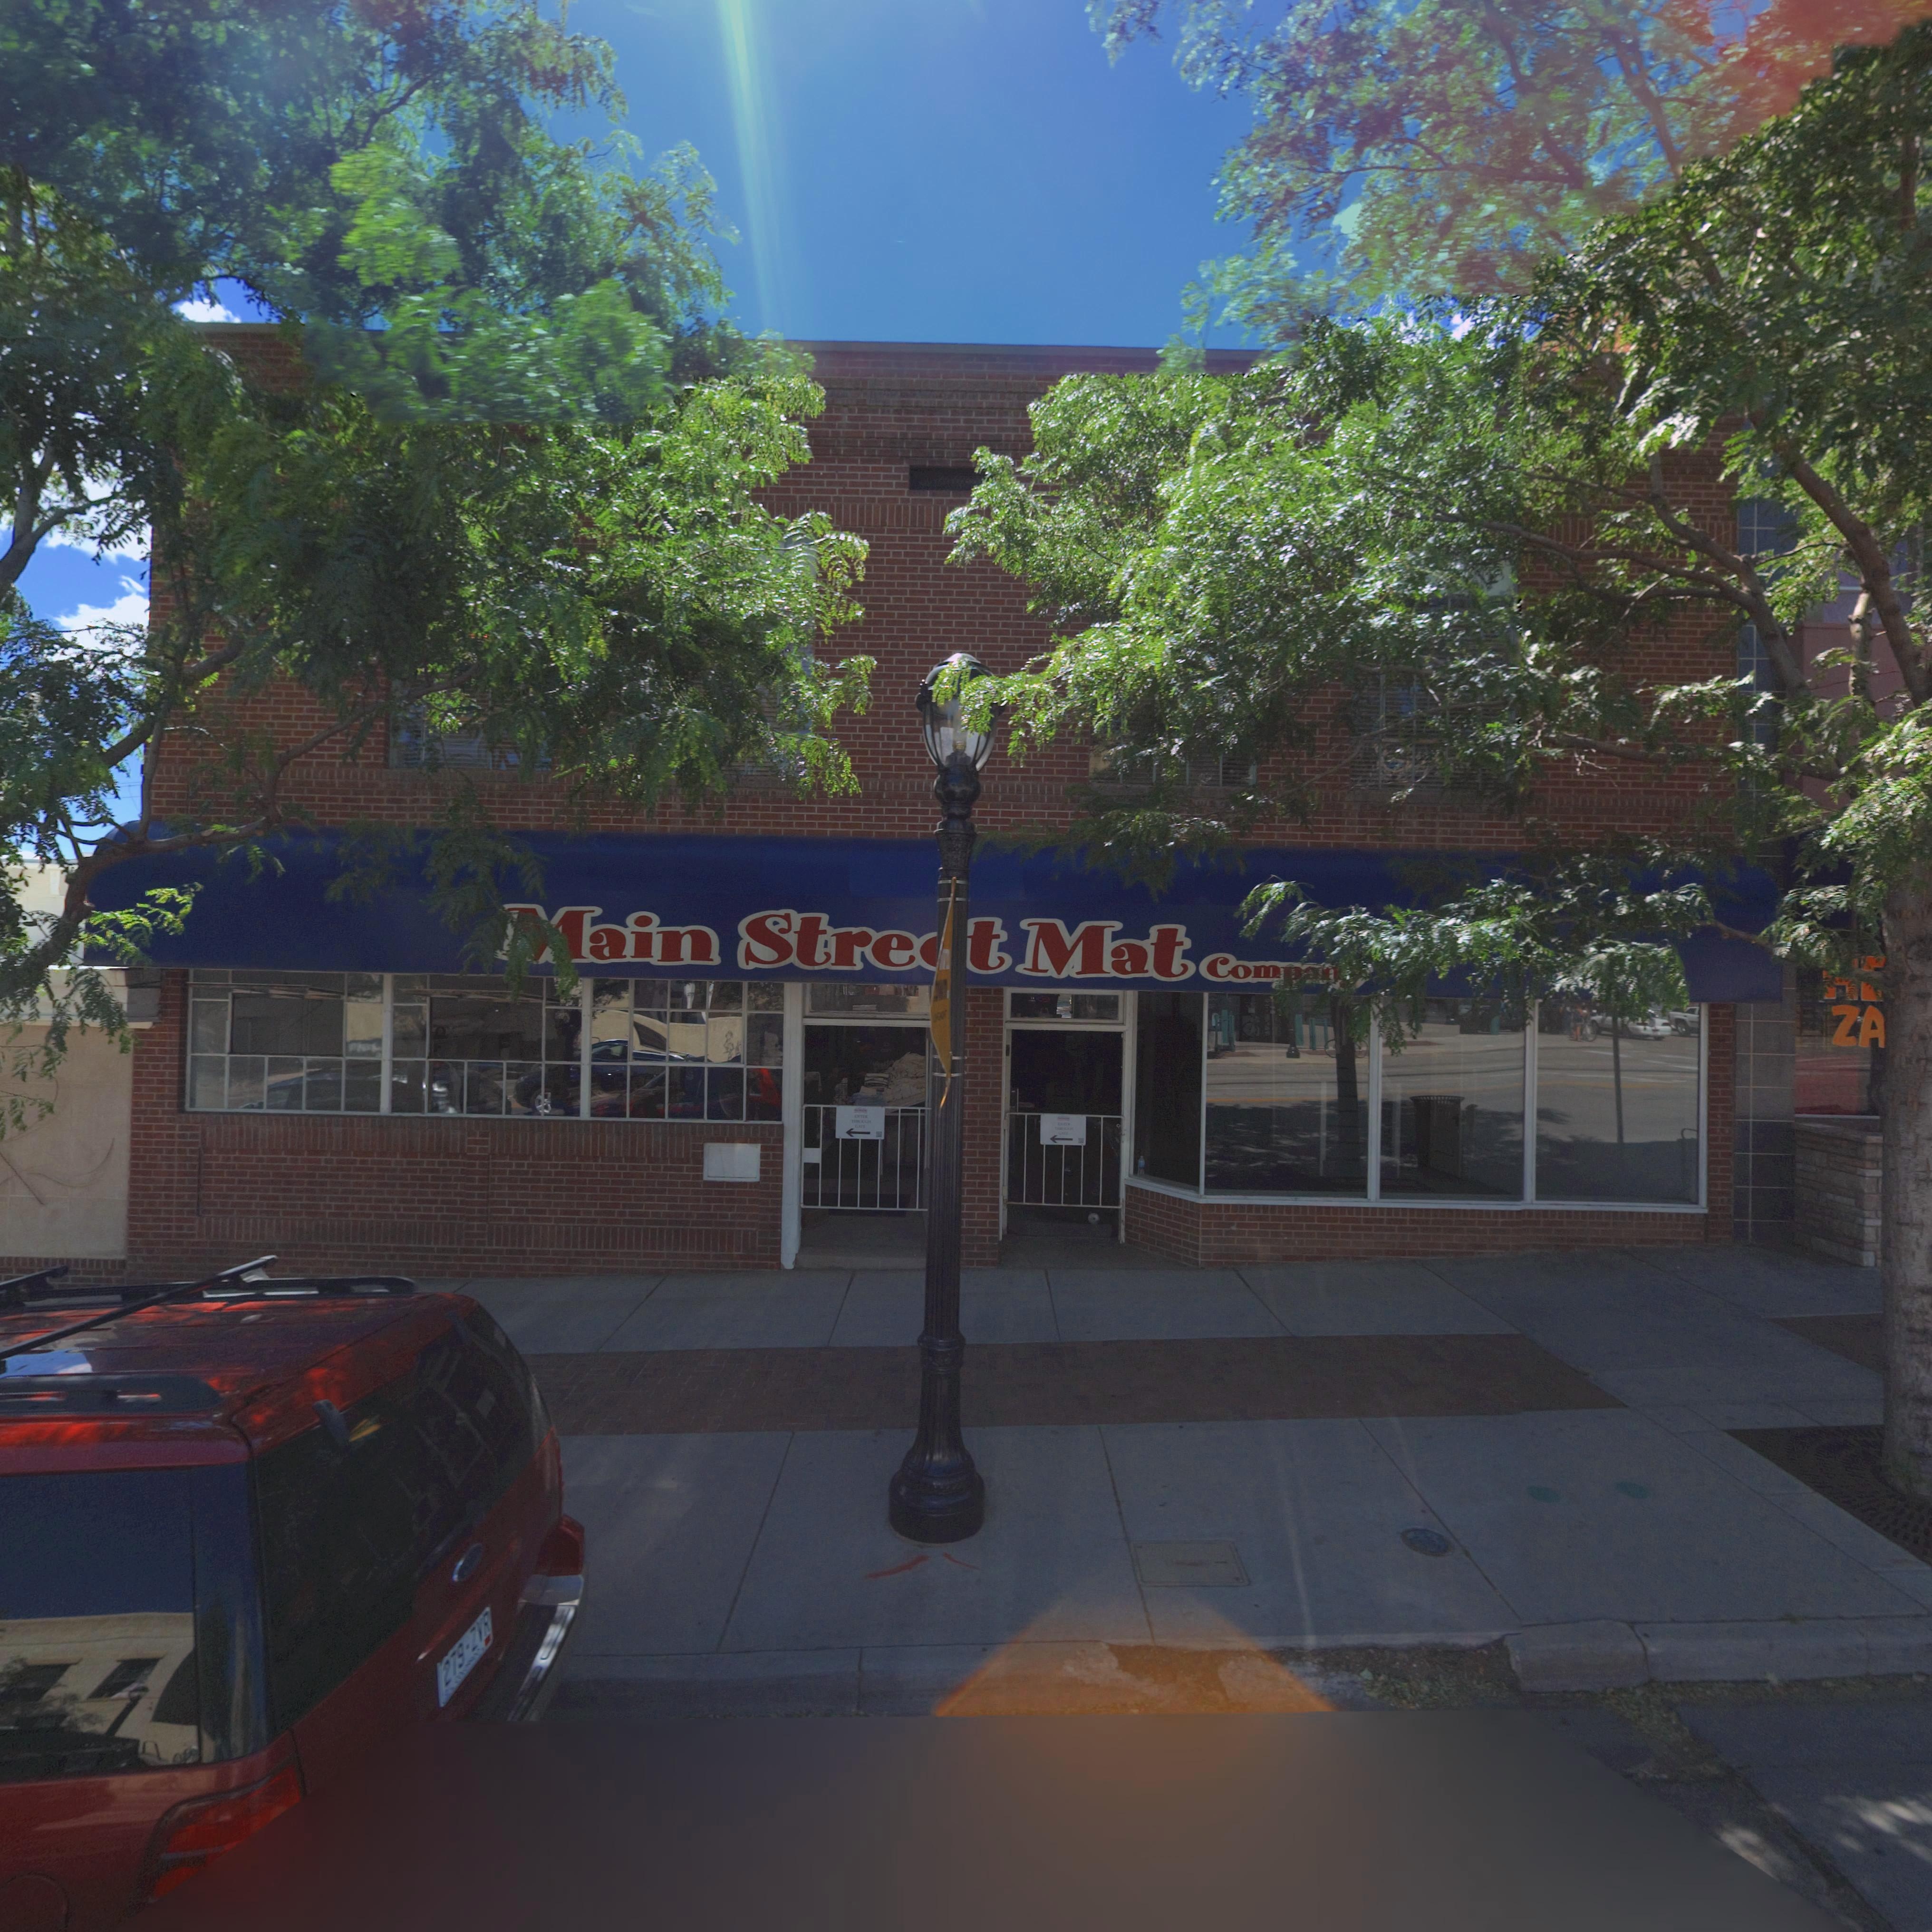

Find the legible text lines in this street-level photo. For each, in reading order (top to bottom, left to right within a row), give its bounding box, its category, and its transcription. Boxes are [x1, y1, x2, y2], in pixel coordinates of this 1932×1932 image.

[490, 901, 1379, 994] BusinessName: *ain Stre*e Mat Com****